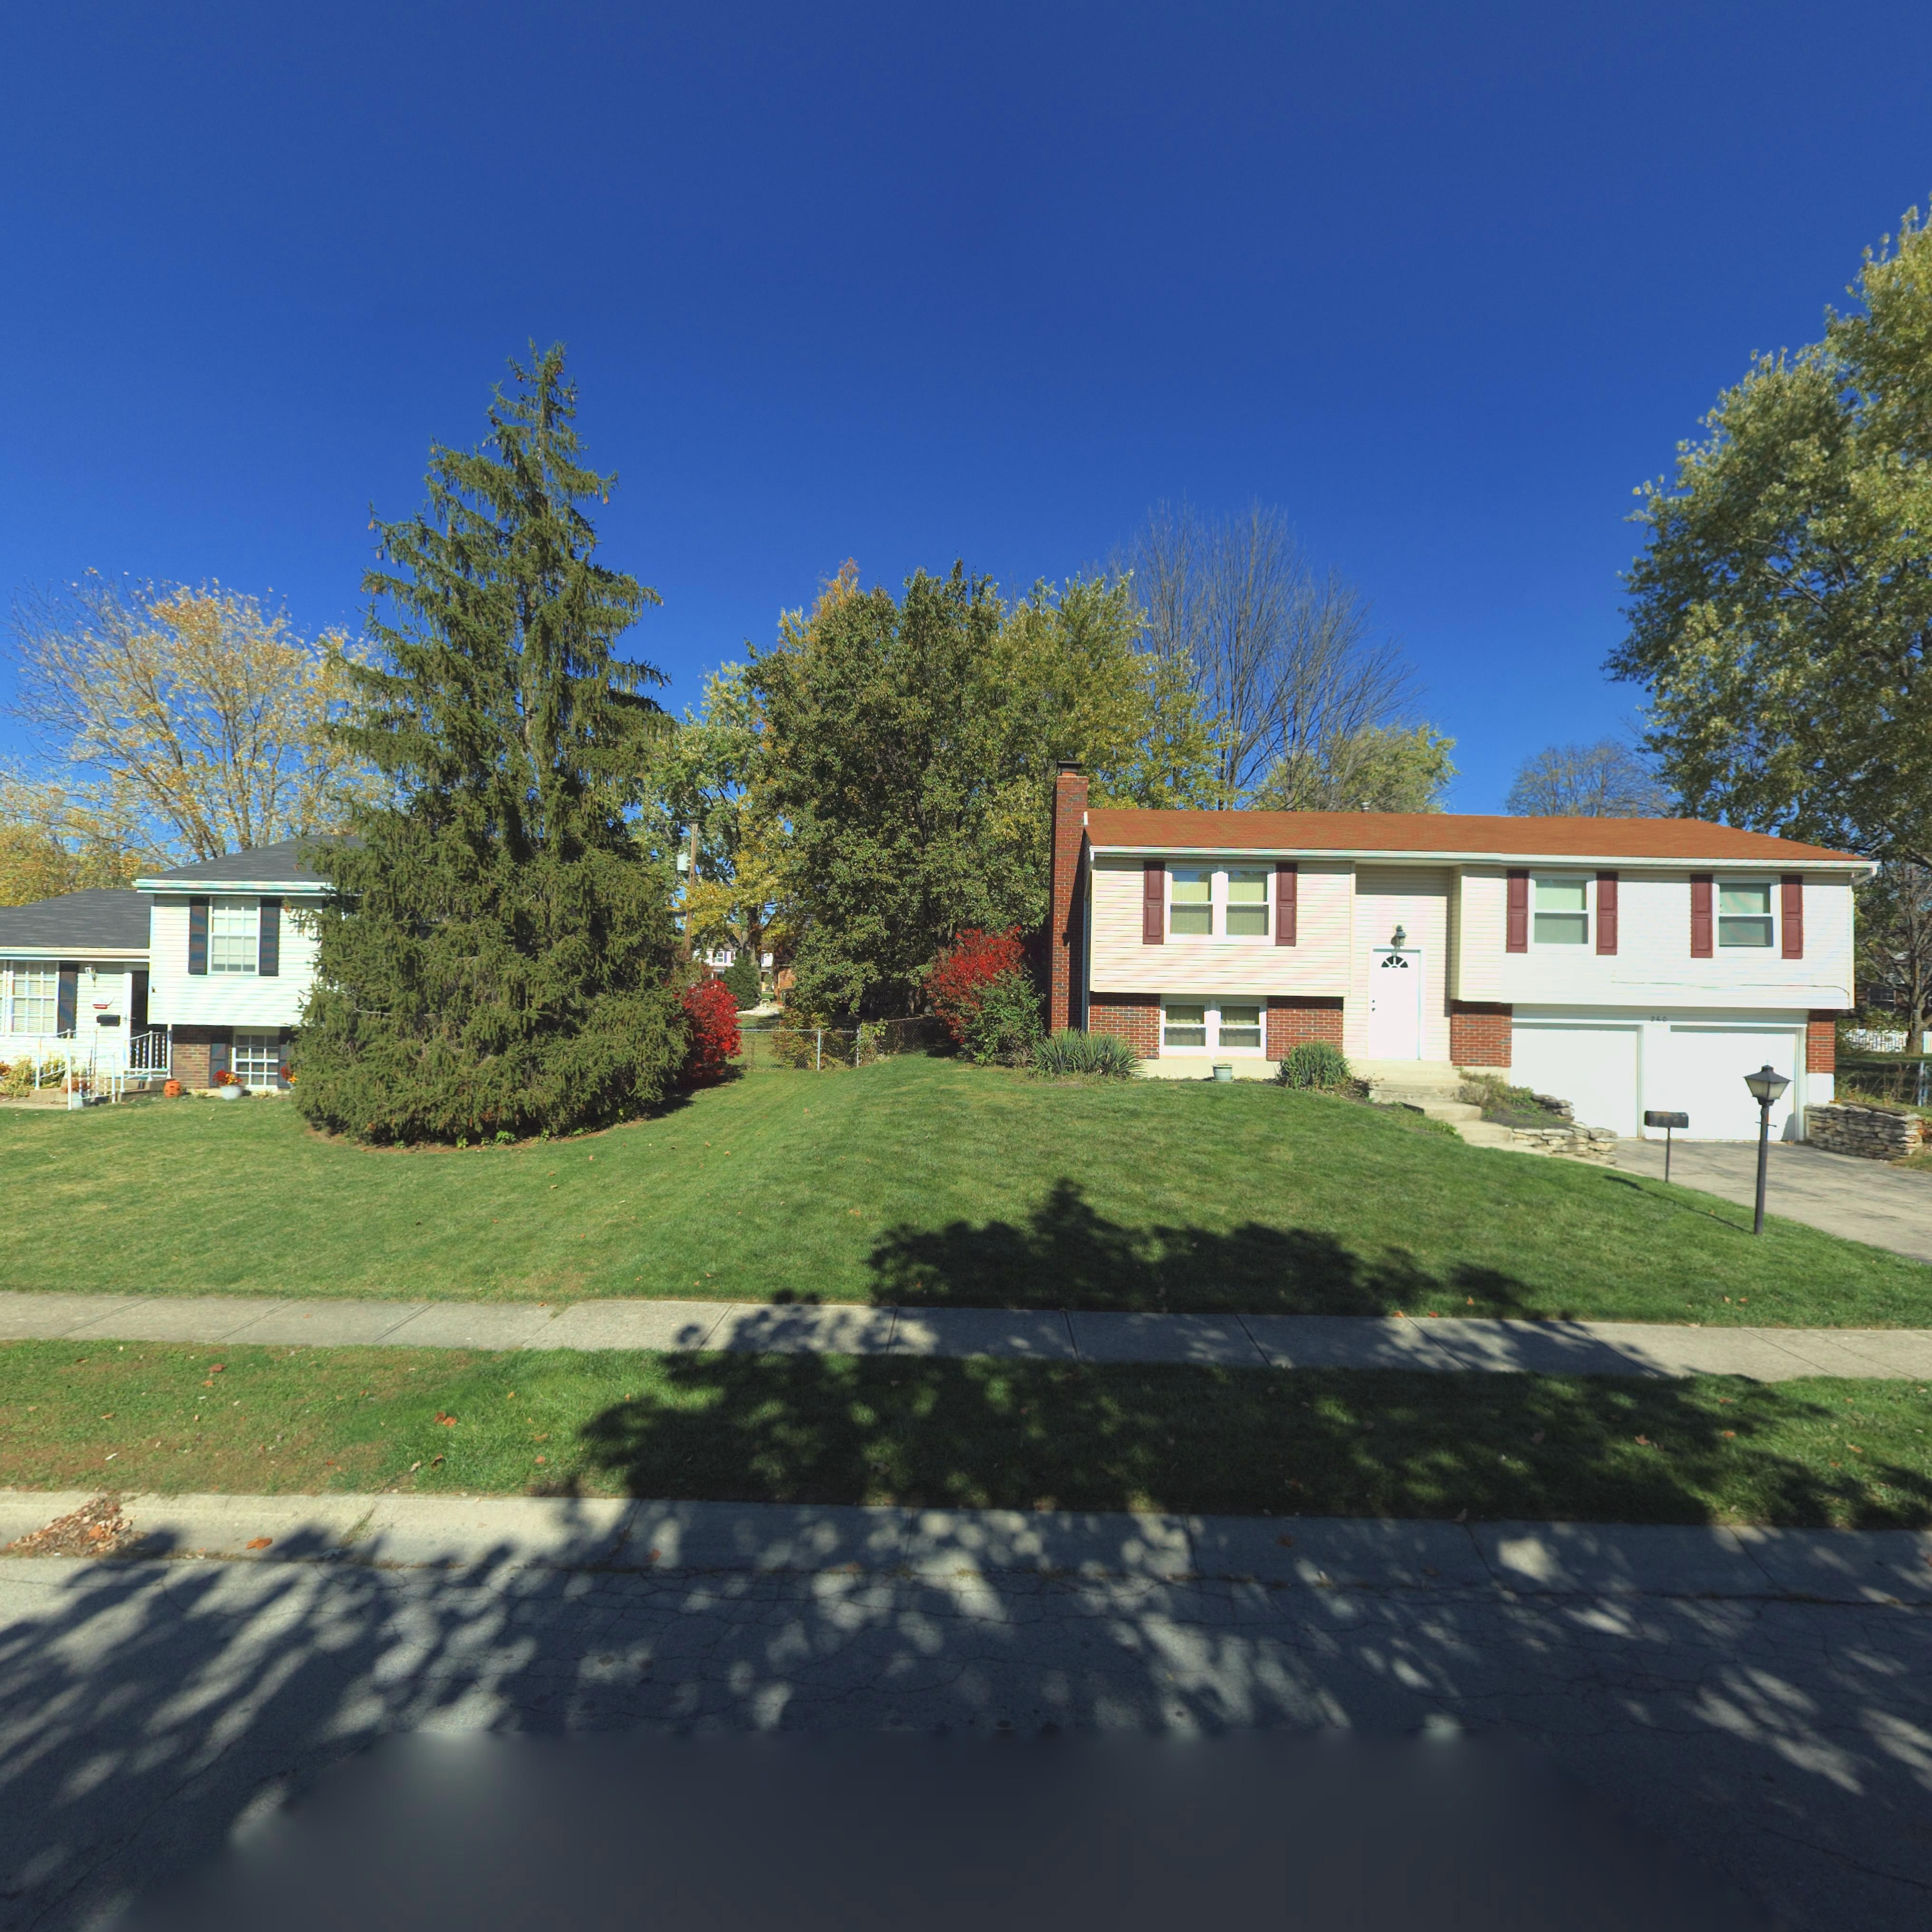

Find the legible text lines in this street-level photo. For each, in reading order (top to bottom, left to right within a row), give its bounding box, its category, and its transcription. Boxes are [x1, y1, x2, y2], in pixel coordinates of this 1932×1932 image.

[1649, 1014, 1667, 1023] StreetNumber: 260